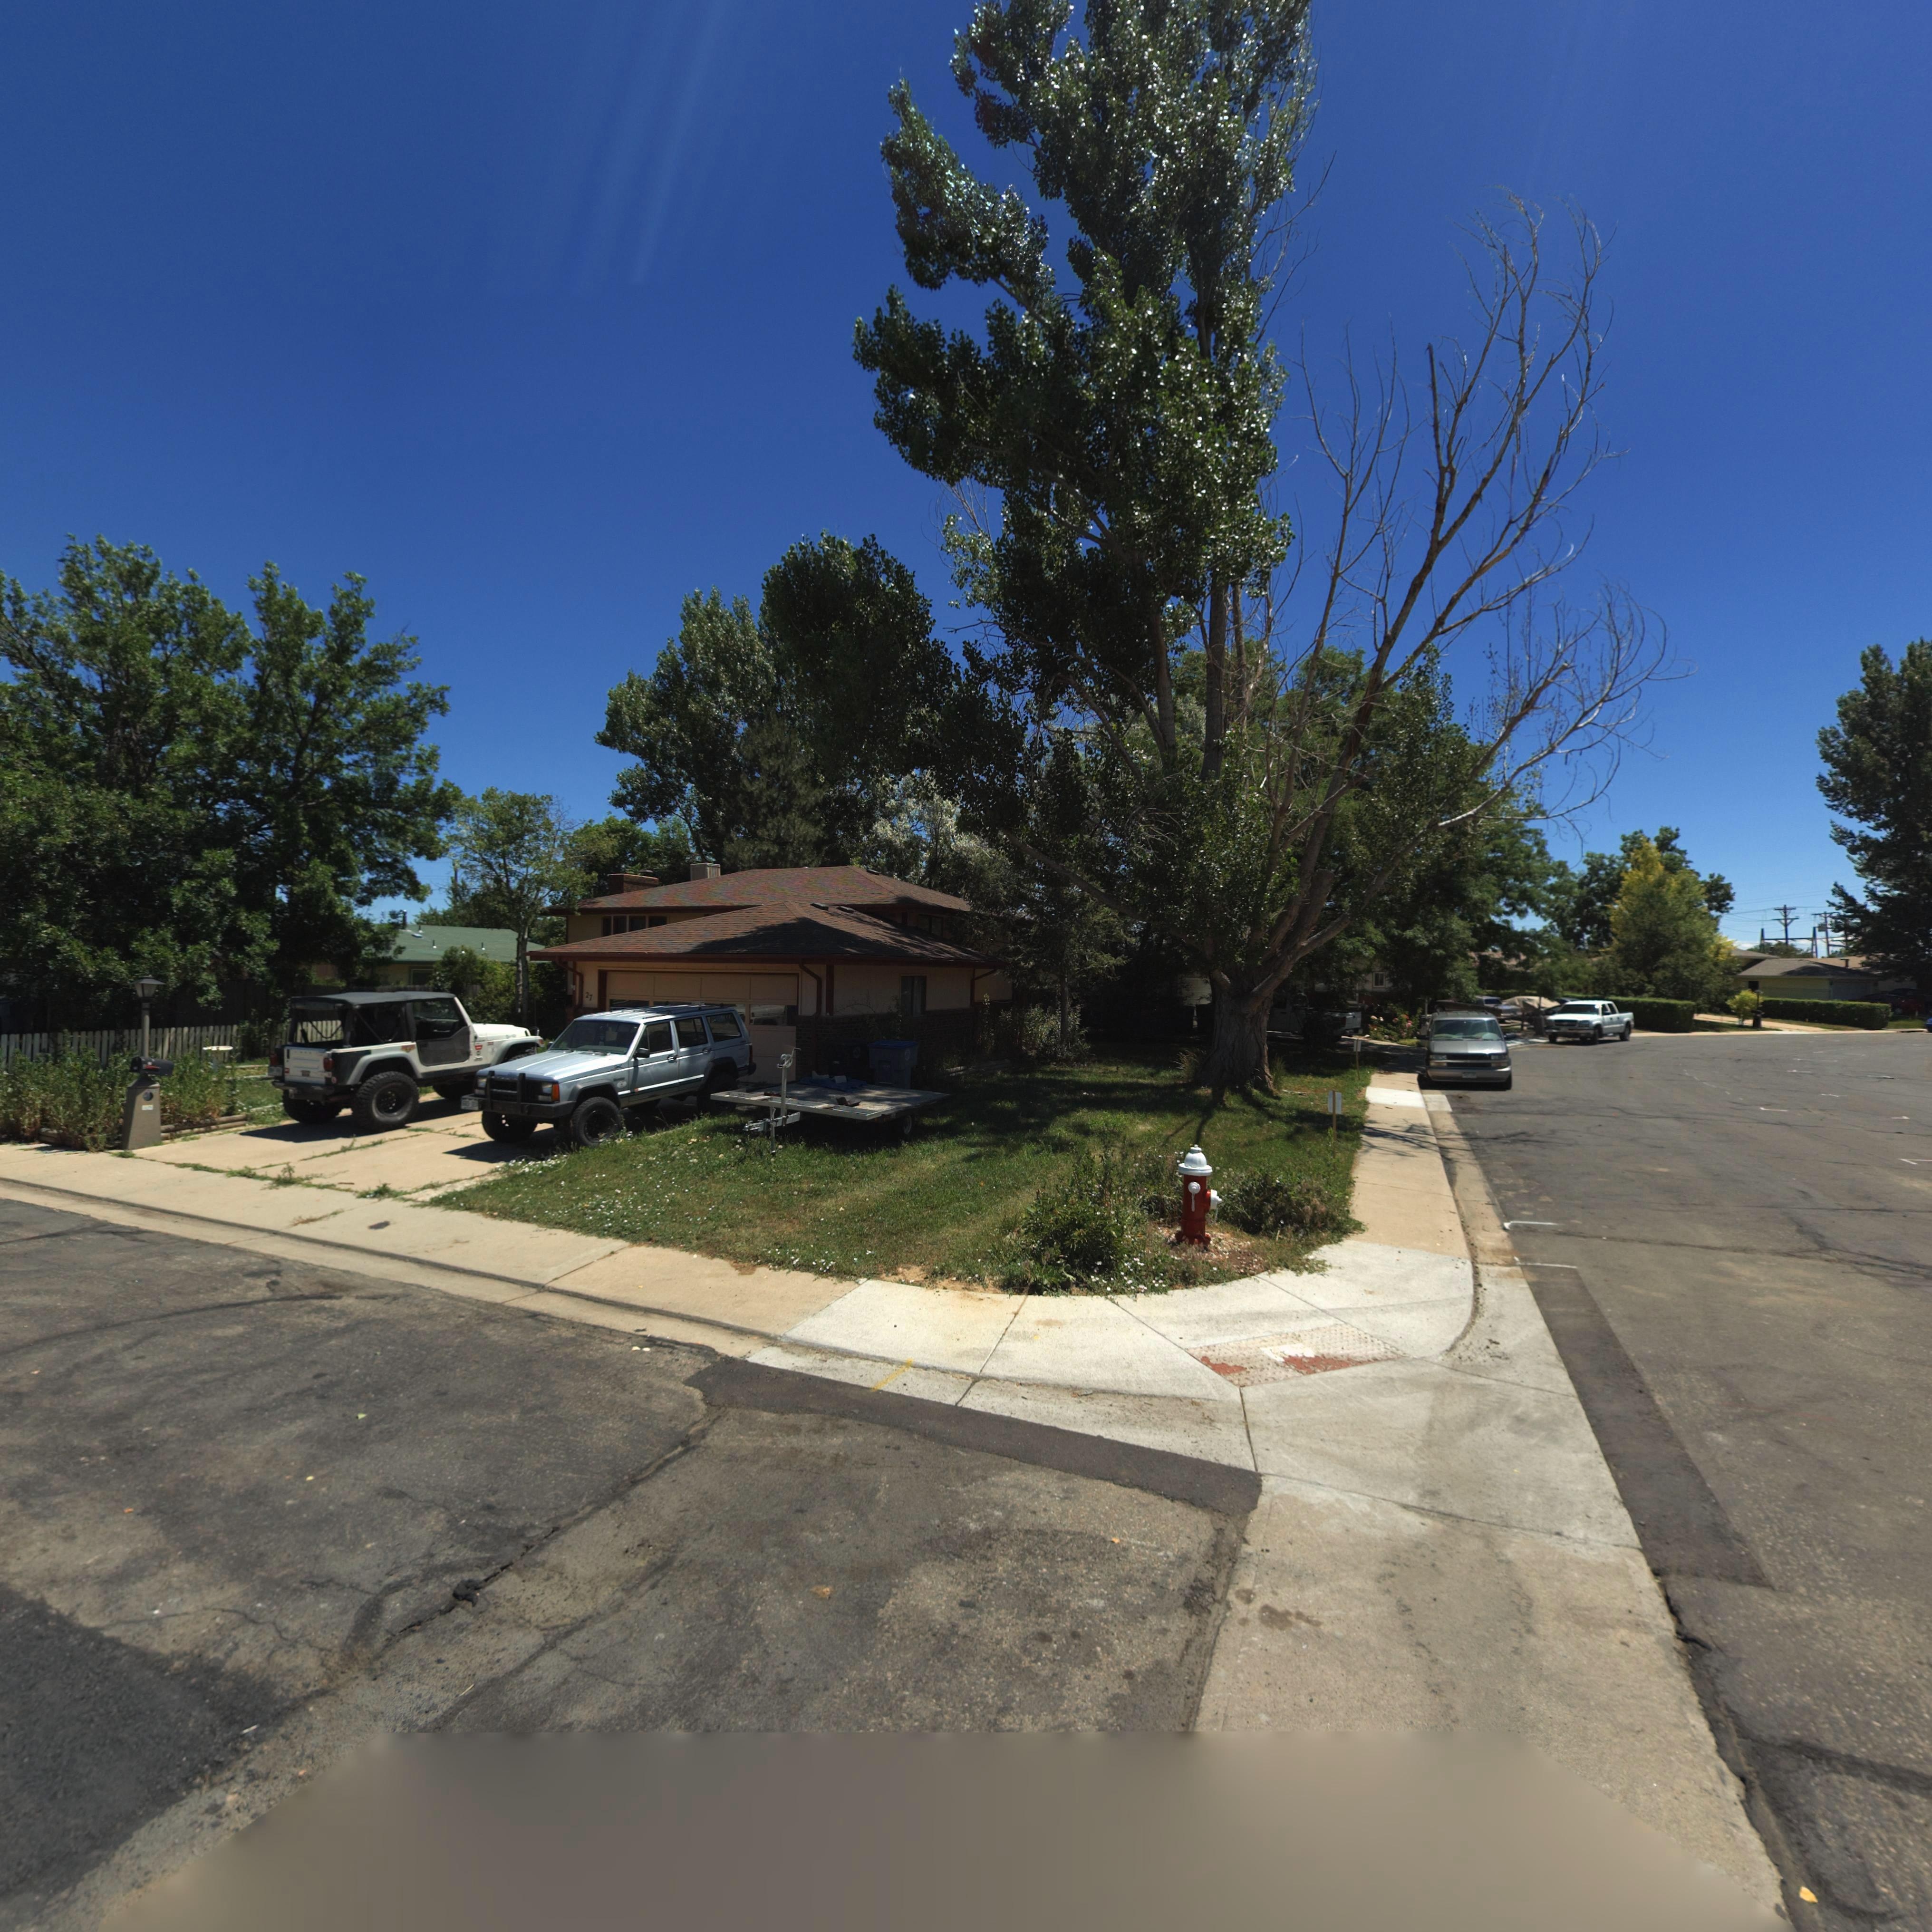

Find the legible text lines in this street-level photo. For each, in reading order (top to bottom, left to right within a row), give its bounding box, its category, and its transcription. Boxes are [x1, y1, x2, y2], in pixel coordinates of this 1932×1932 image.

[585, 991, 593, 1001] StreetNumber: 27